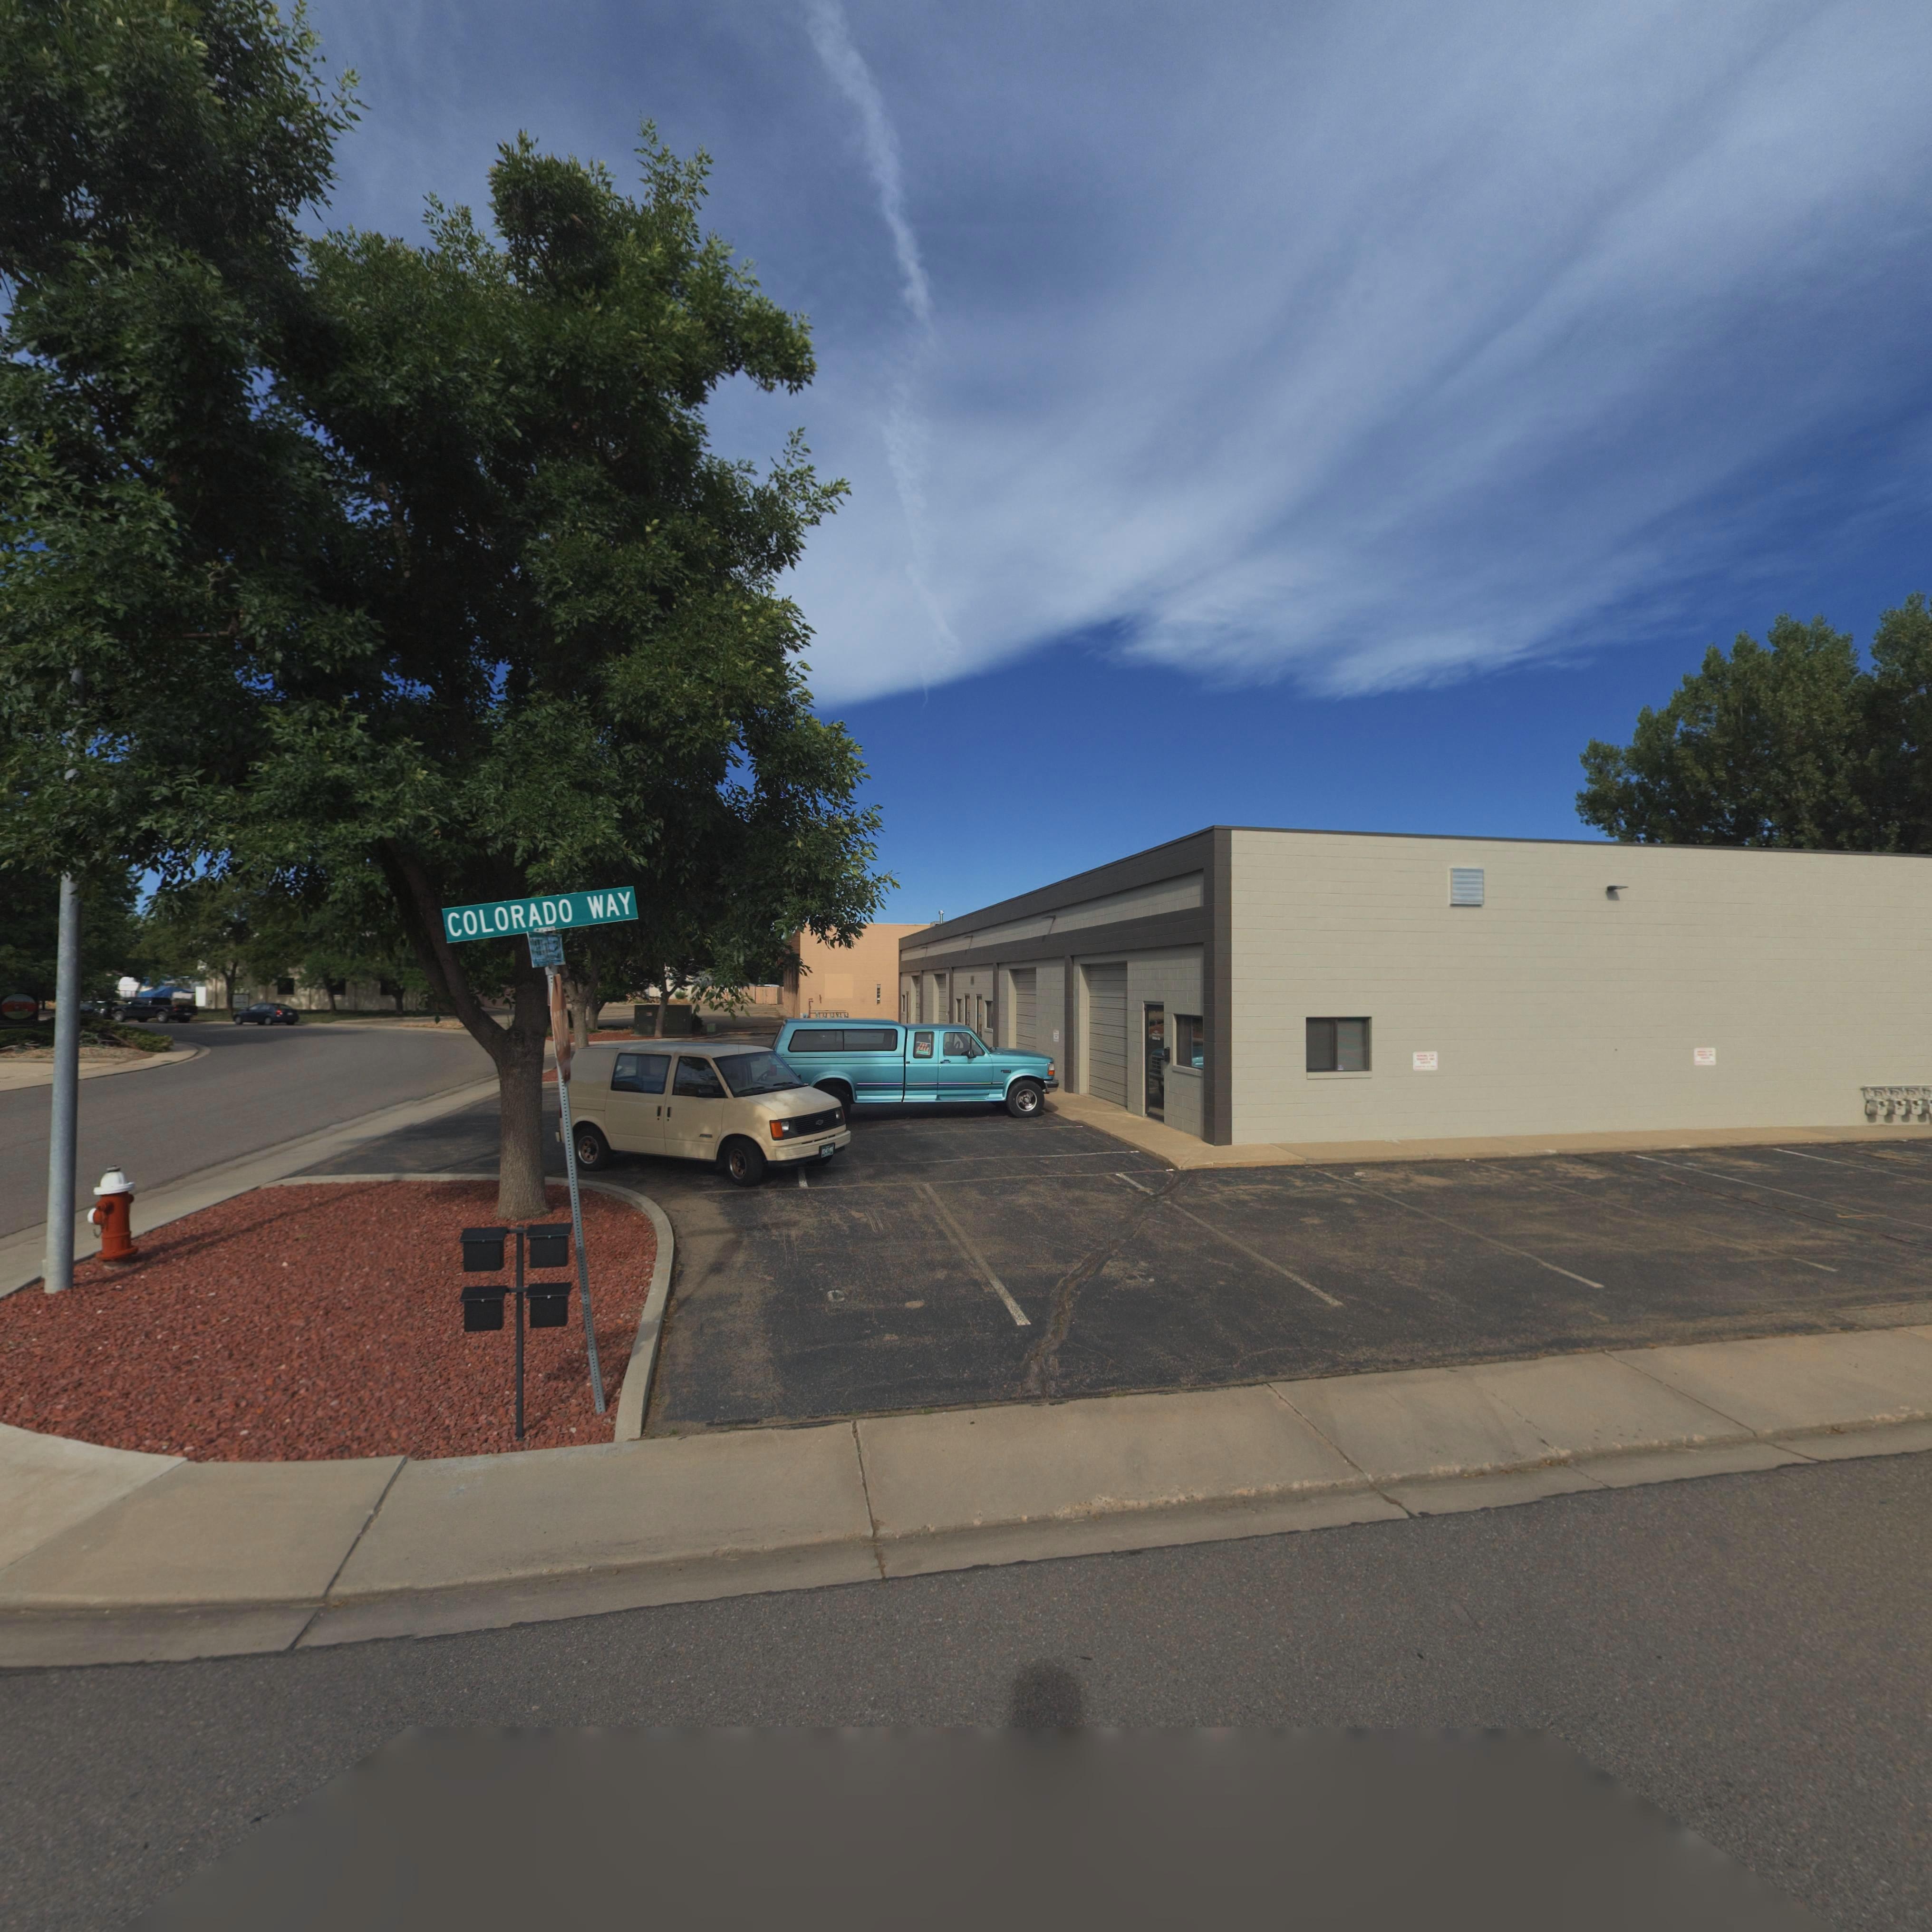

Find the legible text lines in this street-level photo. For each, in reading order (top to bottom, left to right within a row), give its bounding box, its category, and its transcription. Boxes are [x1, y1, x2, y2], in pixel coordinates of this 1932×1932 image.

[444, 891, 631, 939] StreetName: COLORADO WAY
[529, 935, 564, 962] StreetName: DE********